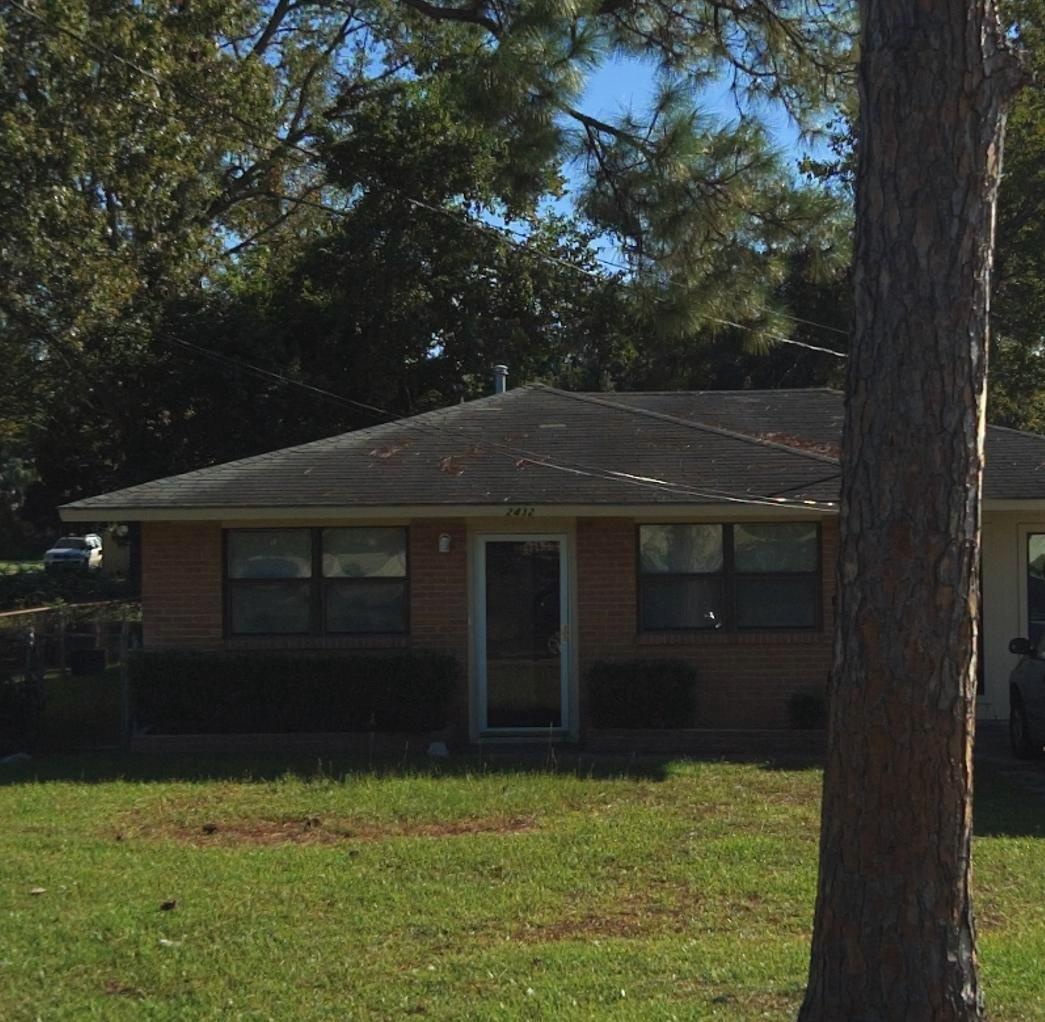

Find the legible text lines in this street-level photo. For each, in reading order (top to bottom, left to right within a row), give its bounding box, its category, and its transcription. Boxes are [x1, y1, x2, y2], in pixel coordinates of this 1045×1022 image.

[505, 506, 536, 517] StreetNumber: 2432